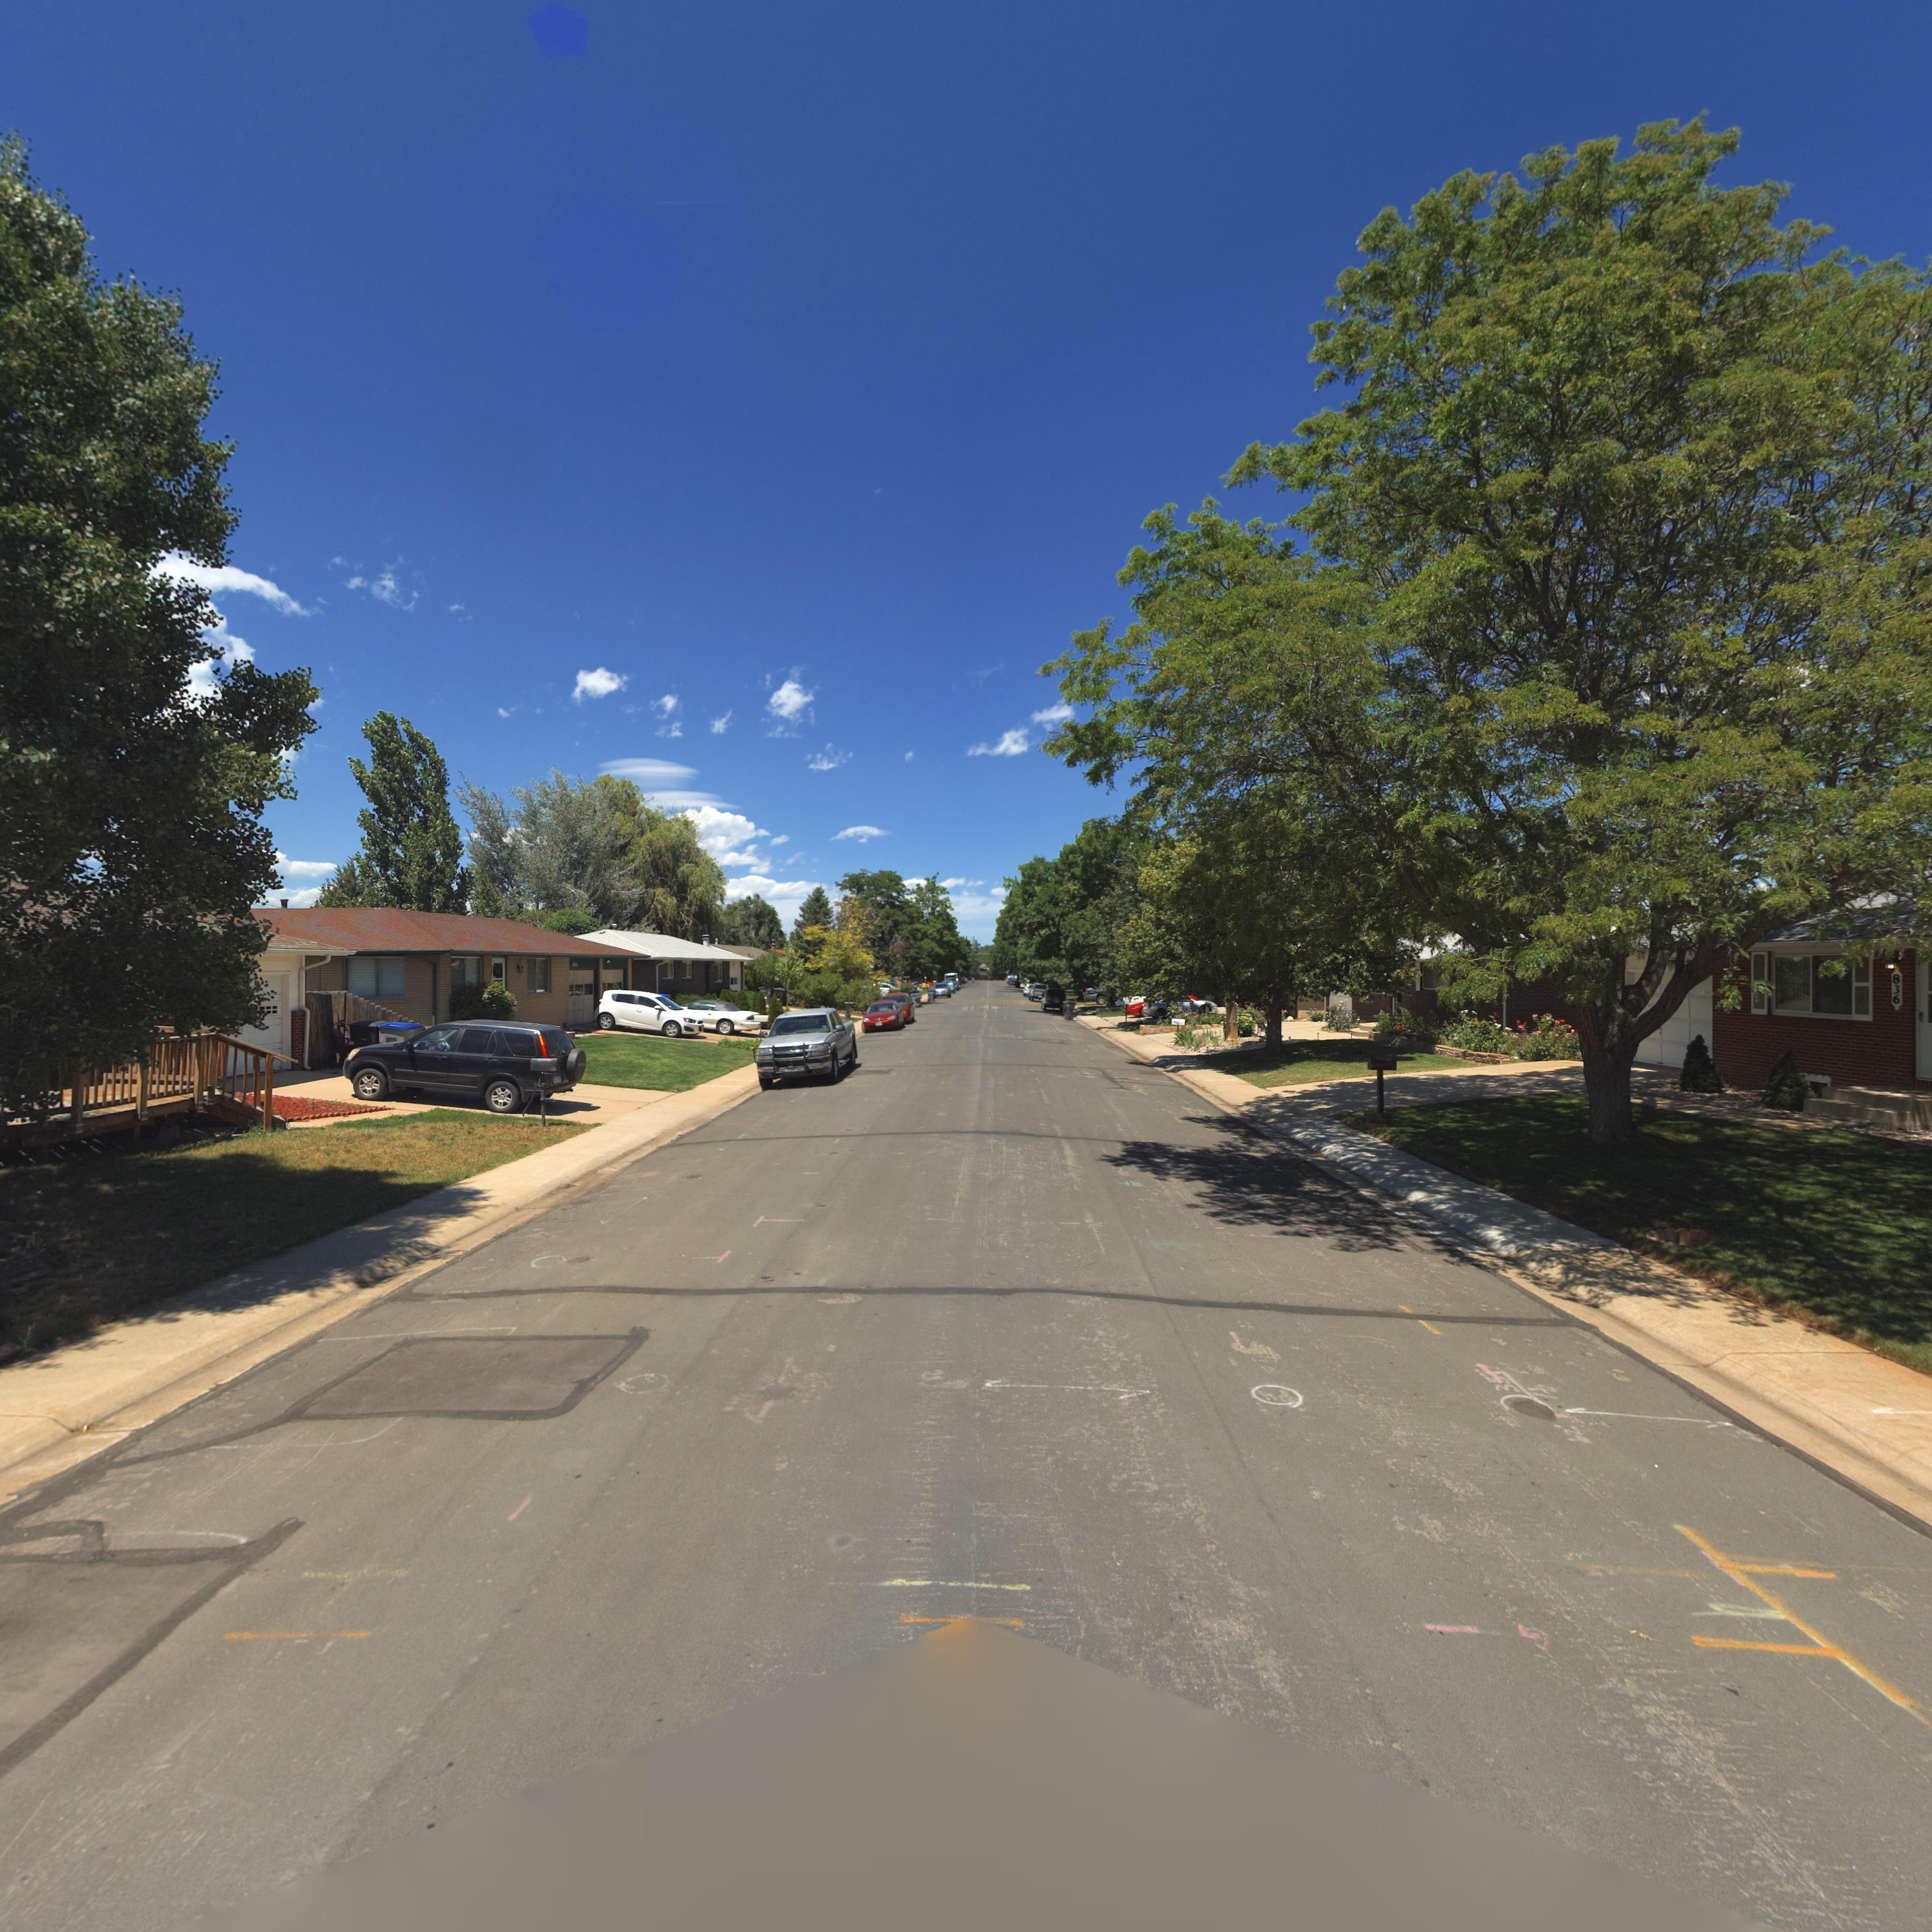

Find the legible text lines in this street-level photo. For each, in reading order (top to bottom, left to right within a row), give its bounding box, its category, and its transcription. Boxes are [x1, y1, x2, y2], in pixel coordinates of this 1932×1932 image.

[1893, 974, 1900, 1005] StreetNumber: 836